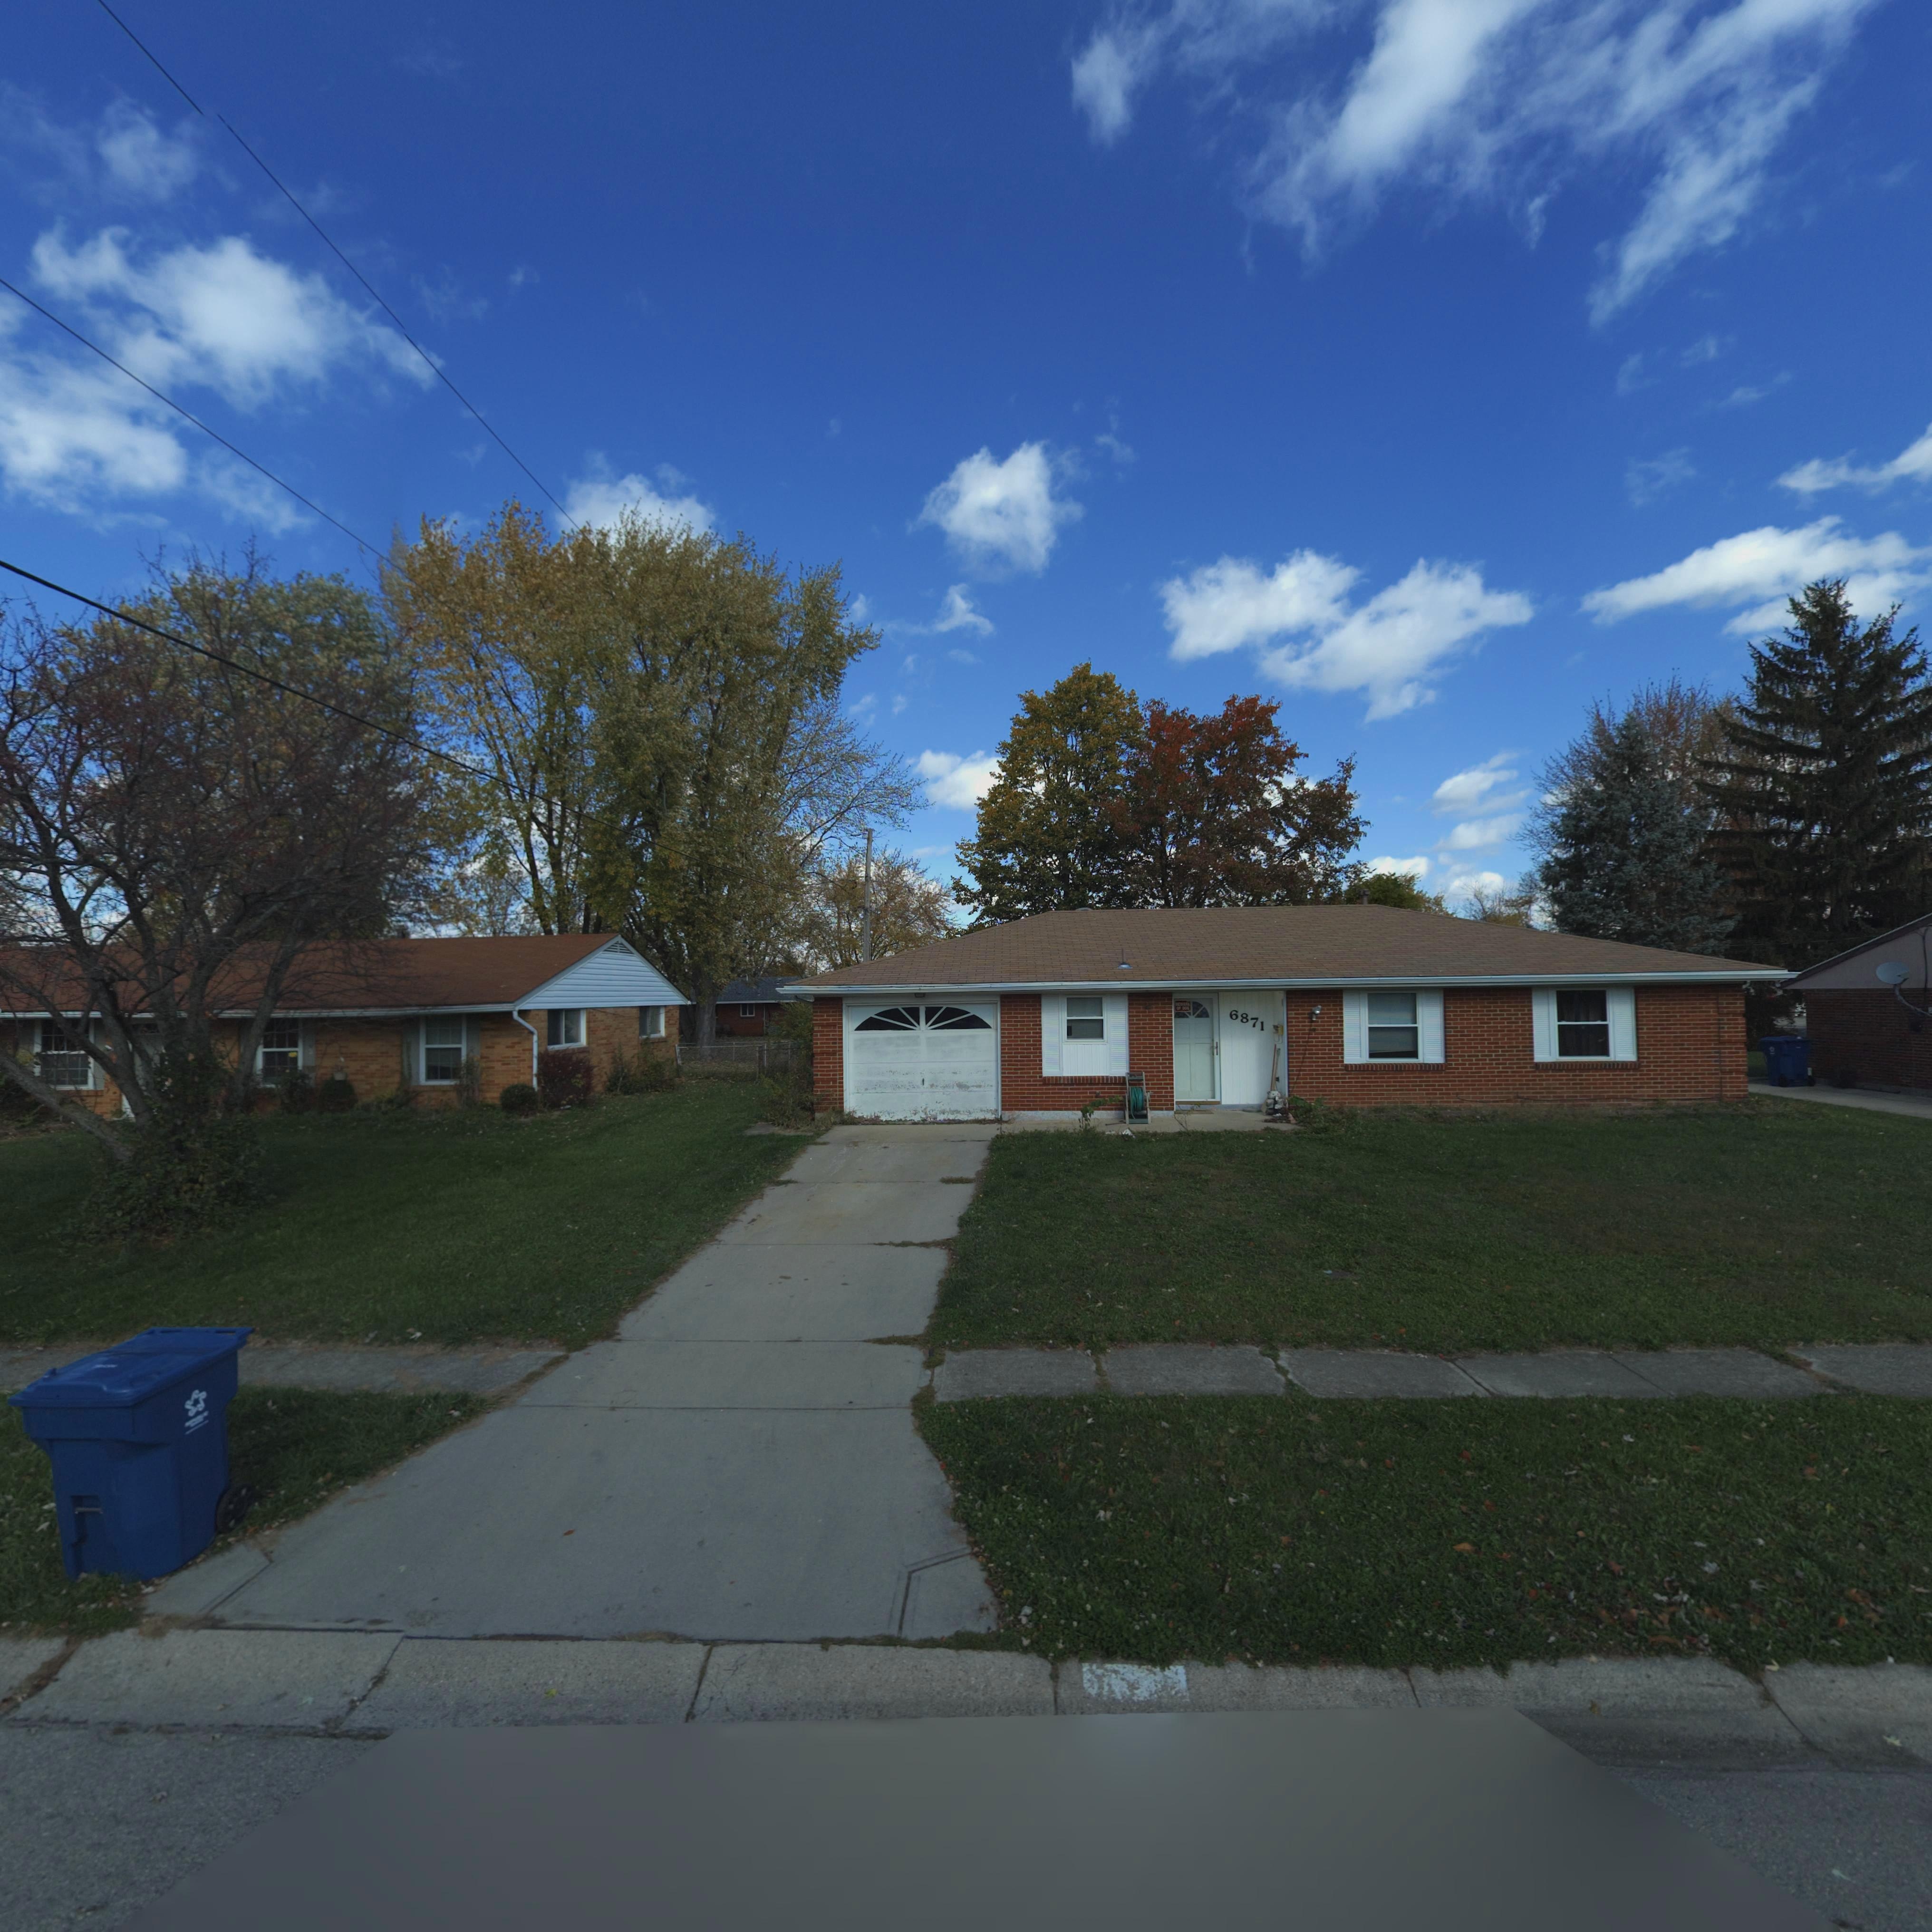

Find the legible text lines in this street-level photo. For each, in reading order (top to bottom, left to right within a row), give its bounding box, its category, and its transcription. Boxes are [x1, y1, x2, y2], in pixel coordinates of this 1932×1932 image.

[1228, 1009, 1265, 1032] StreetNumber: 6871